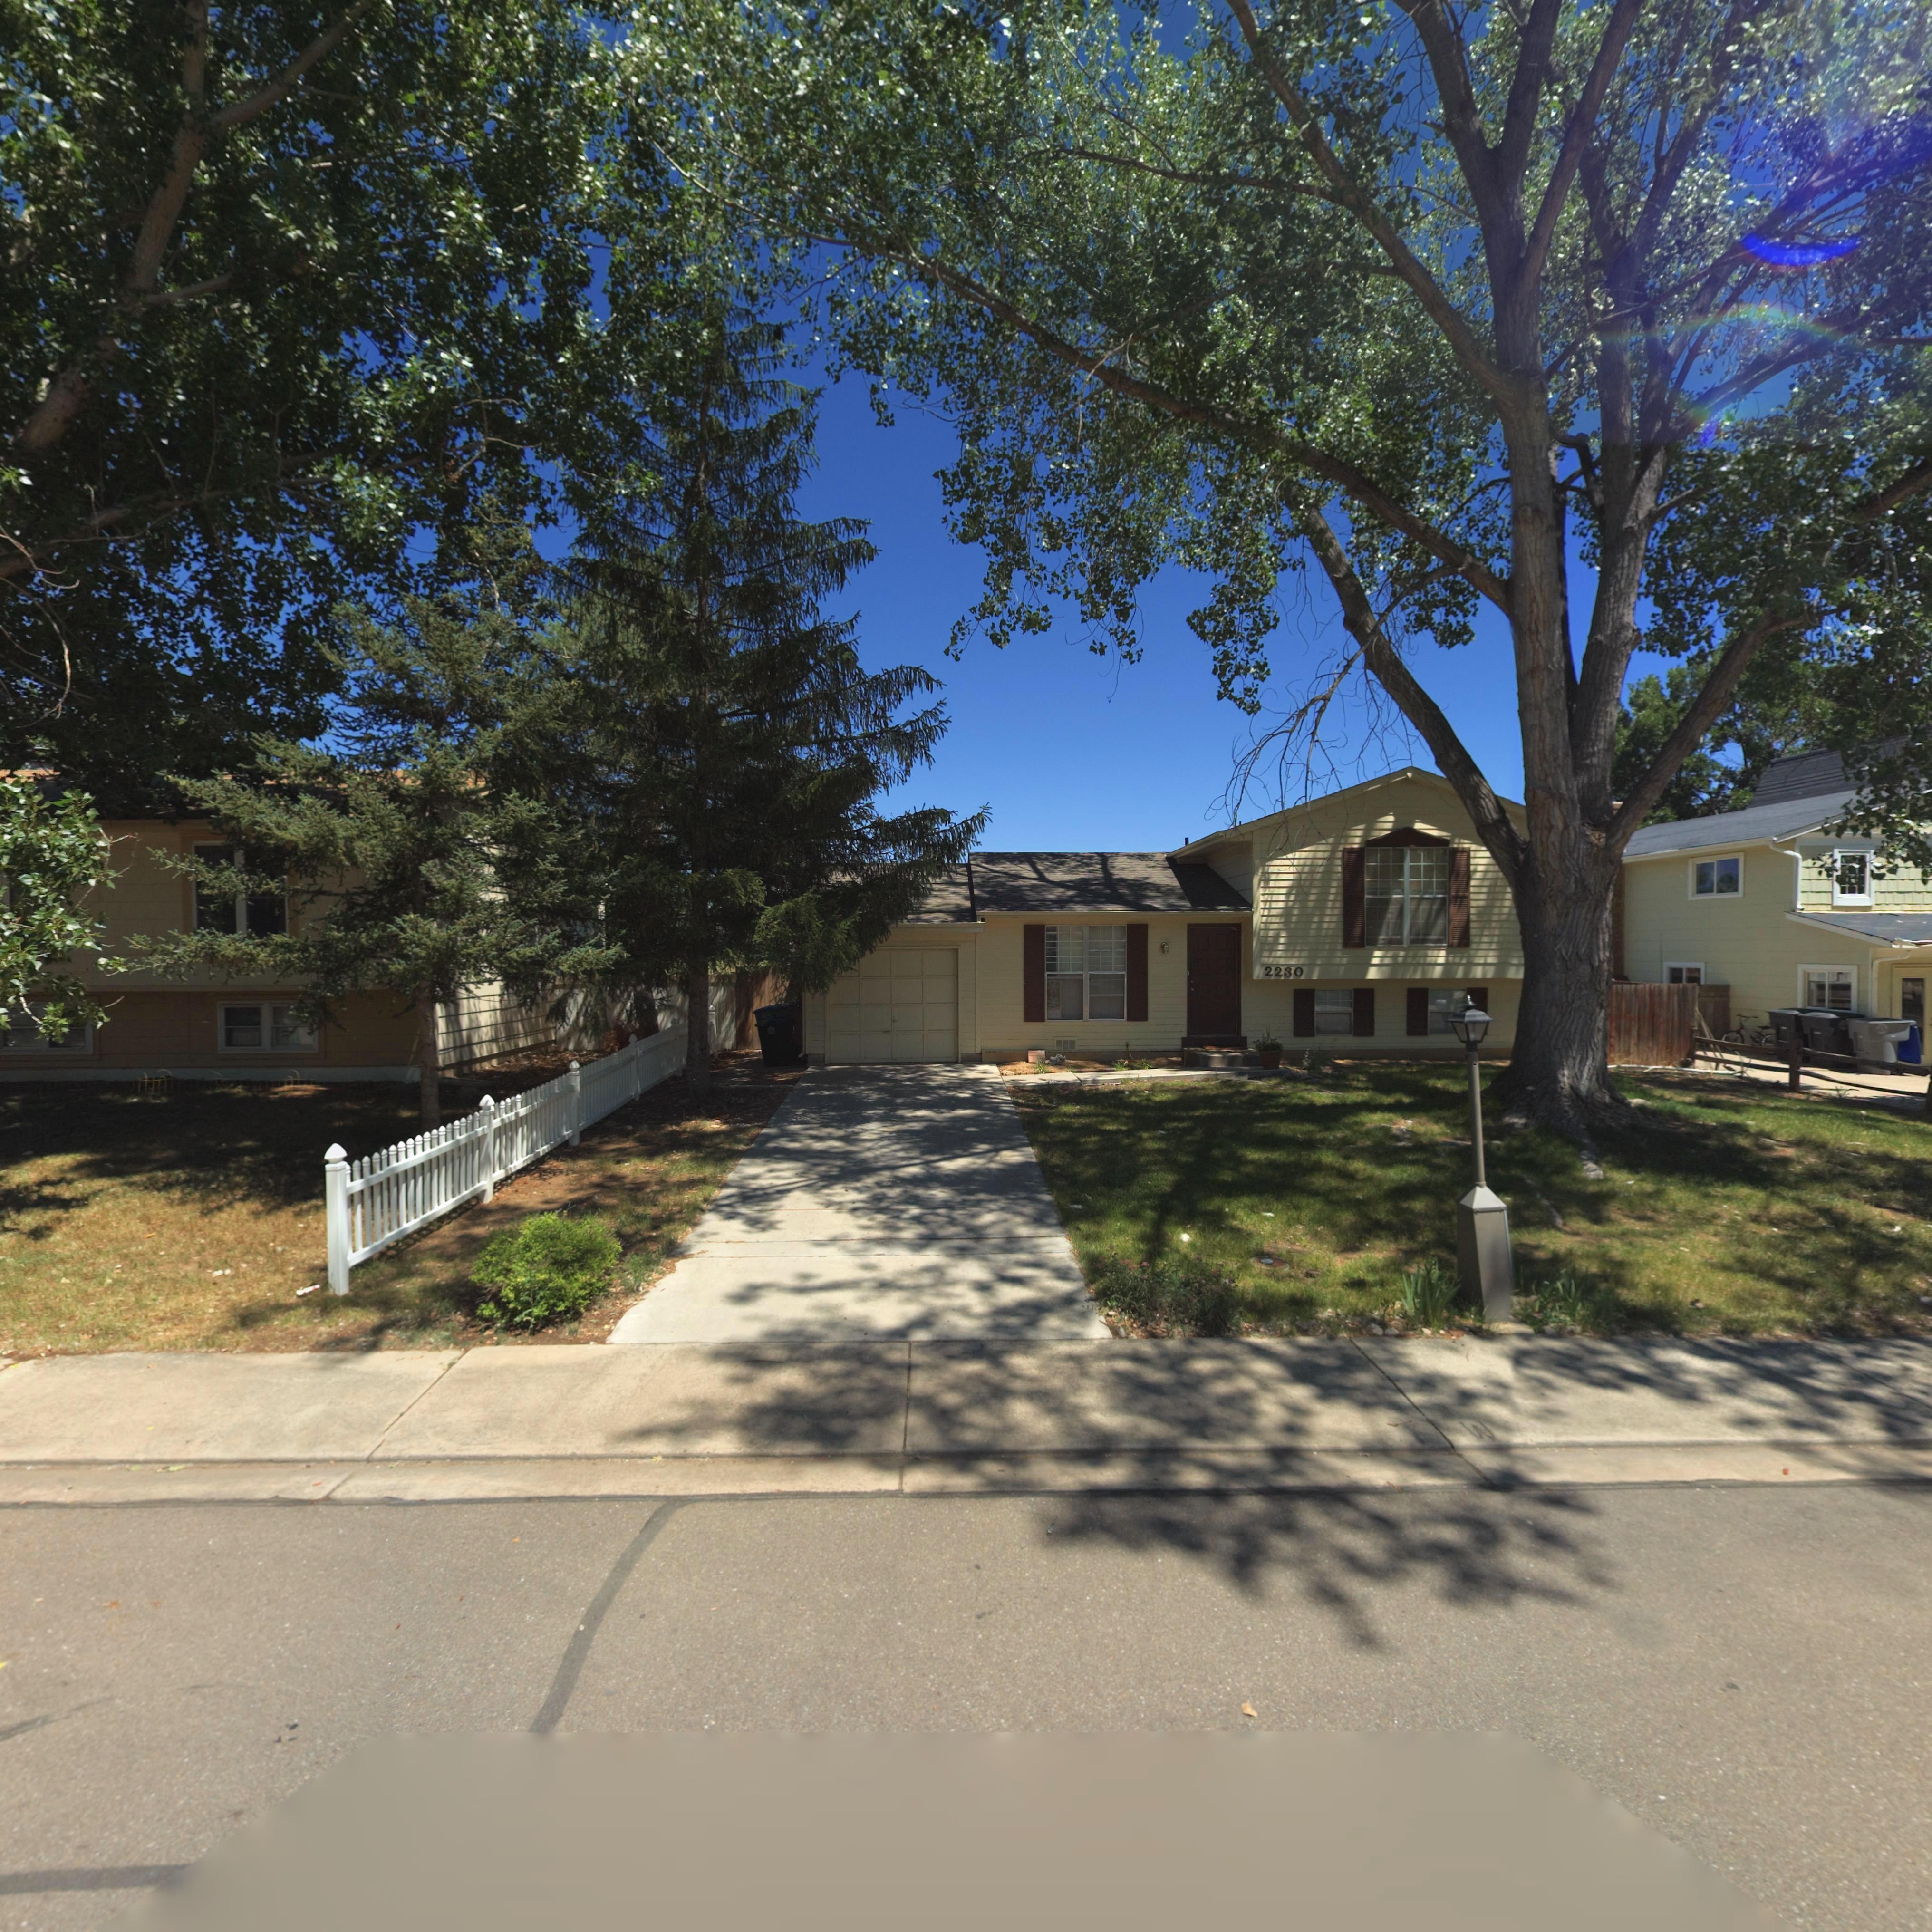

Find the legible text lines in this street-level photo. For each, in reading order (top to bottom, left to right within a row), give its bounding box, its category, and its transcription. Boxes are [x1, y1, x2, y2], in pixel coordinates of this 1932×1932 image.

[1265, 966, 1304, 977] StreetNumber: 2230